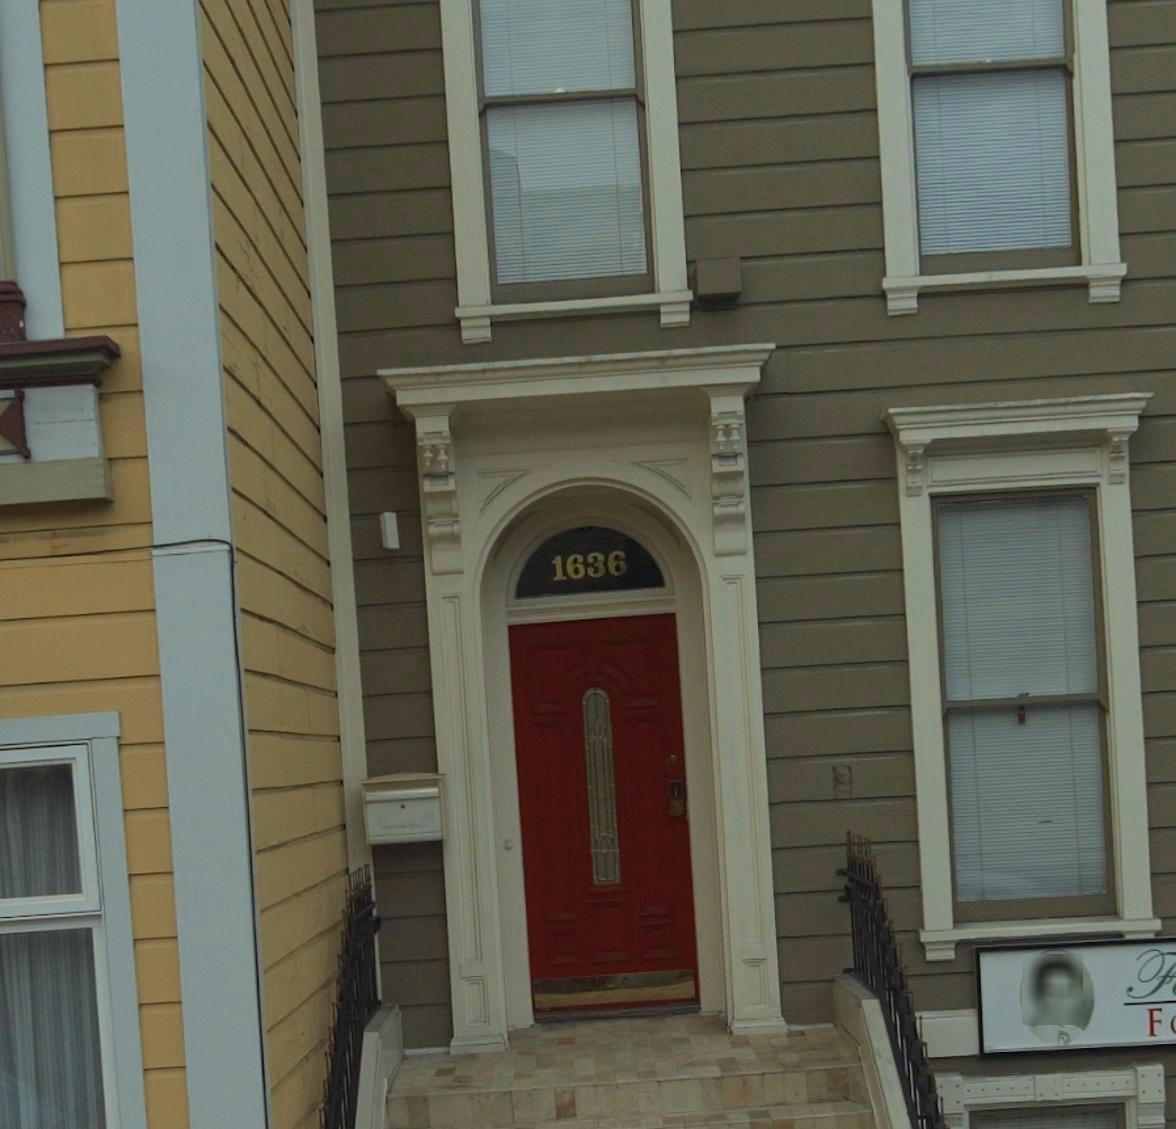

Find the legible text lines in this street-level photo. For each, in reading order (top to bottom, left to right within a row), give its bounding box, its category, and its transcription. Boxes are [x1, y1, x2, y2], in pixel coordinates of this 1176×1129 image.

[549, 549, 631, 583] StreetNumber: 1636
[1144, 1007, 1163, 1038] None: F